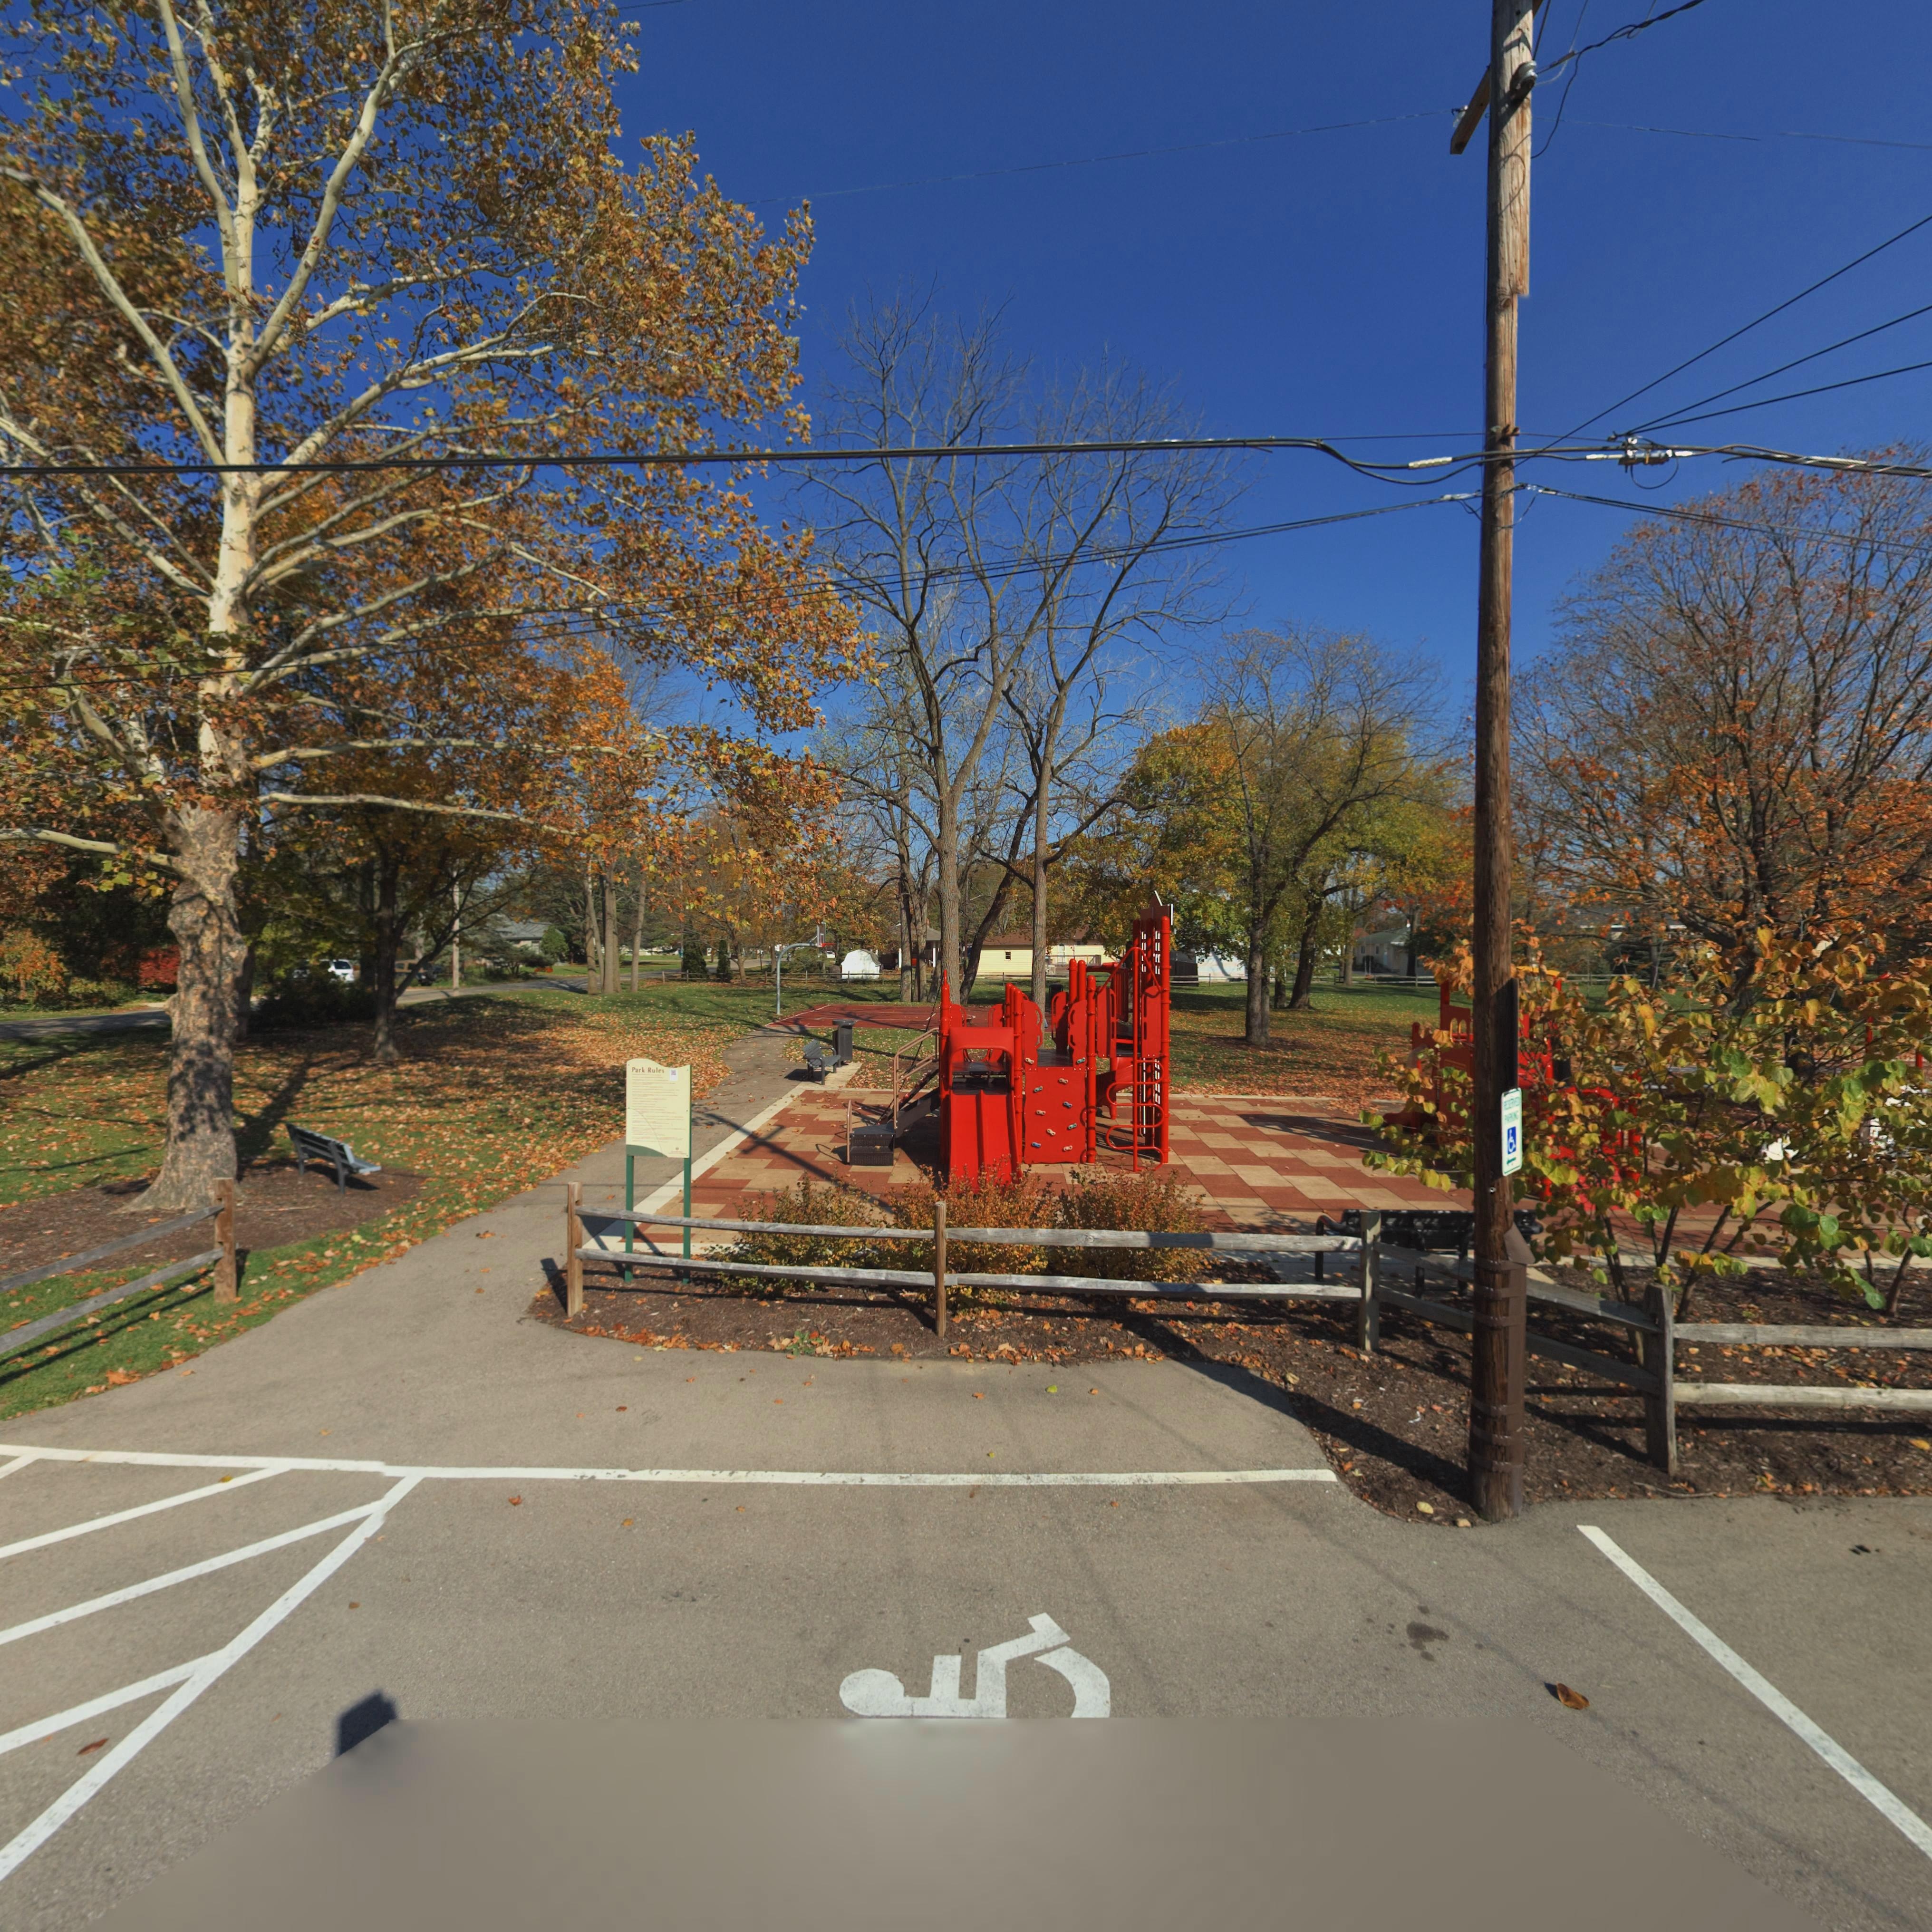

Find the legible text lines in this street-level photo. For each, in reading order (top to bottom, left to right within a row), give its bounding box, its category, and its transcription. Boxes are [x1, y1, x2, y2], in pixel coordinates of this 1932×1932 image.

[630, 1065, 666, 1074] None: Park Rules